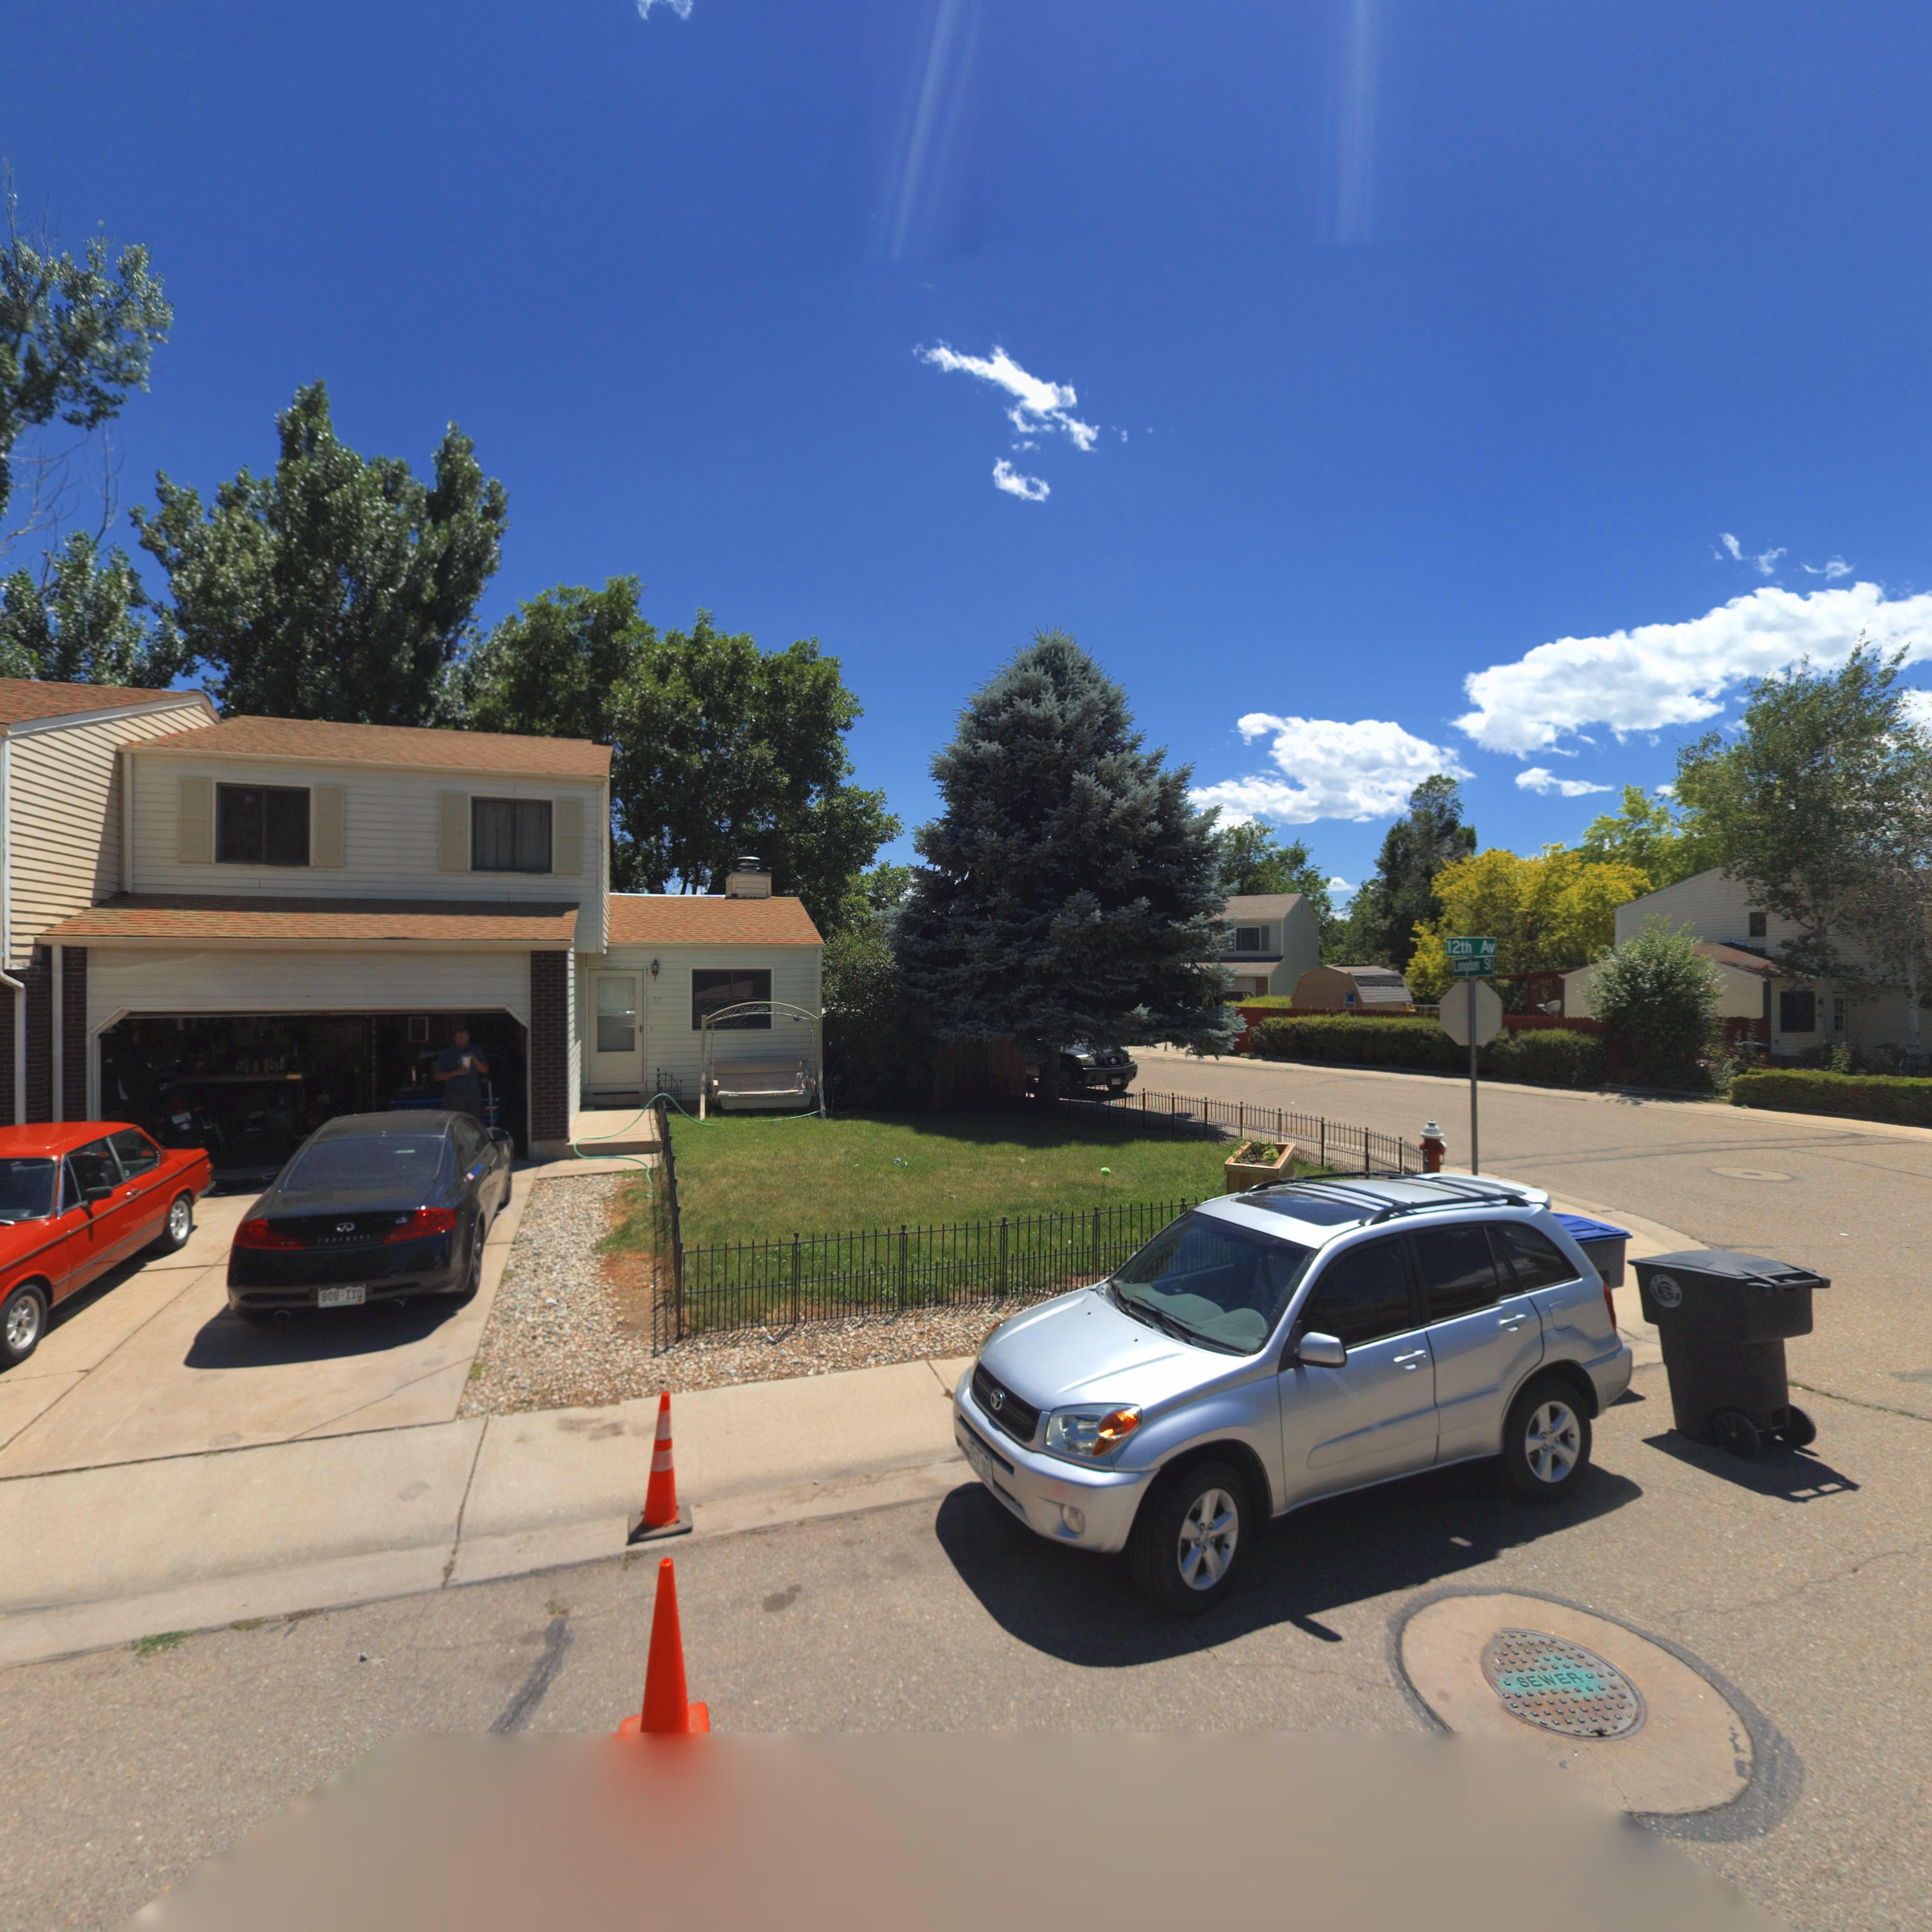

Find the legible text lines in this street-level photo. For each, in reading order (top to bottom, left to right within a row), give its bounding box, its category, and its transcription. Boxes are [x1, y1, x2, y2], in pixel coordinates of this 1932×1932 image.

[1446, 939, 1495, 954] StreetName: 12th Av
[1453, 957, 1492, 975] StreetName: Longdon St
[652, 996, 661, 1005] StreetNumber: 37